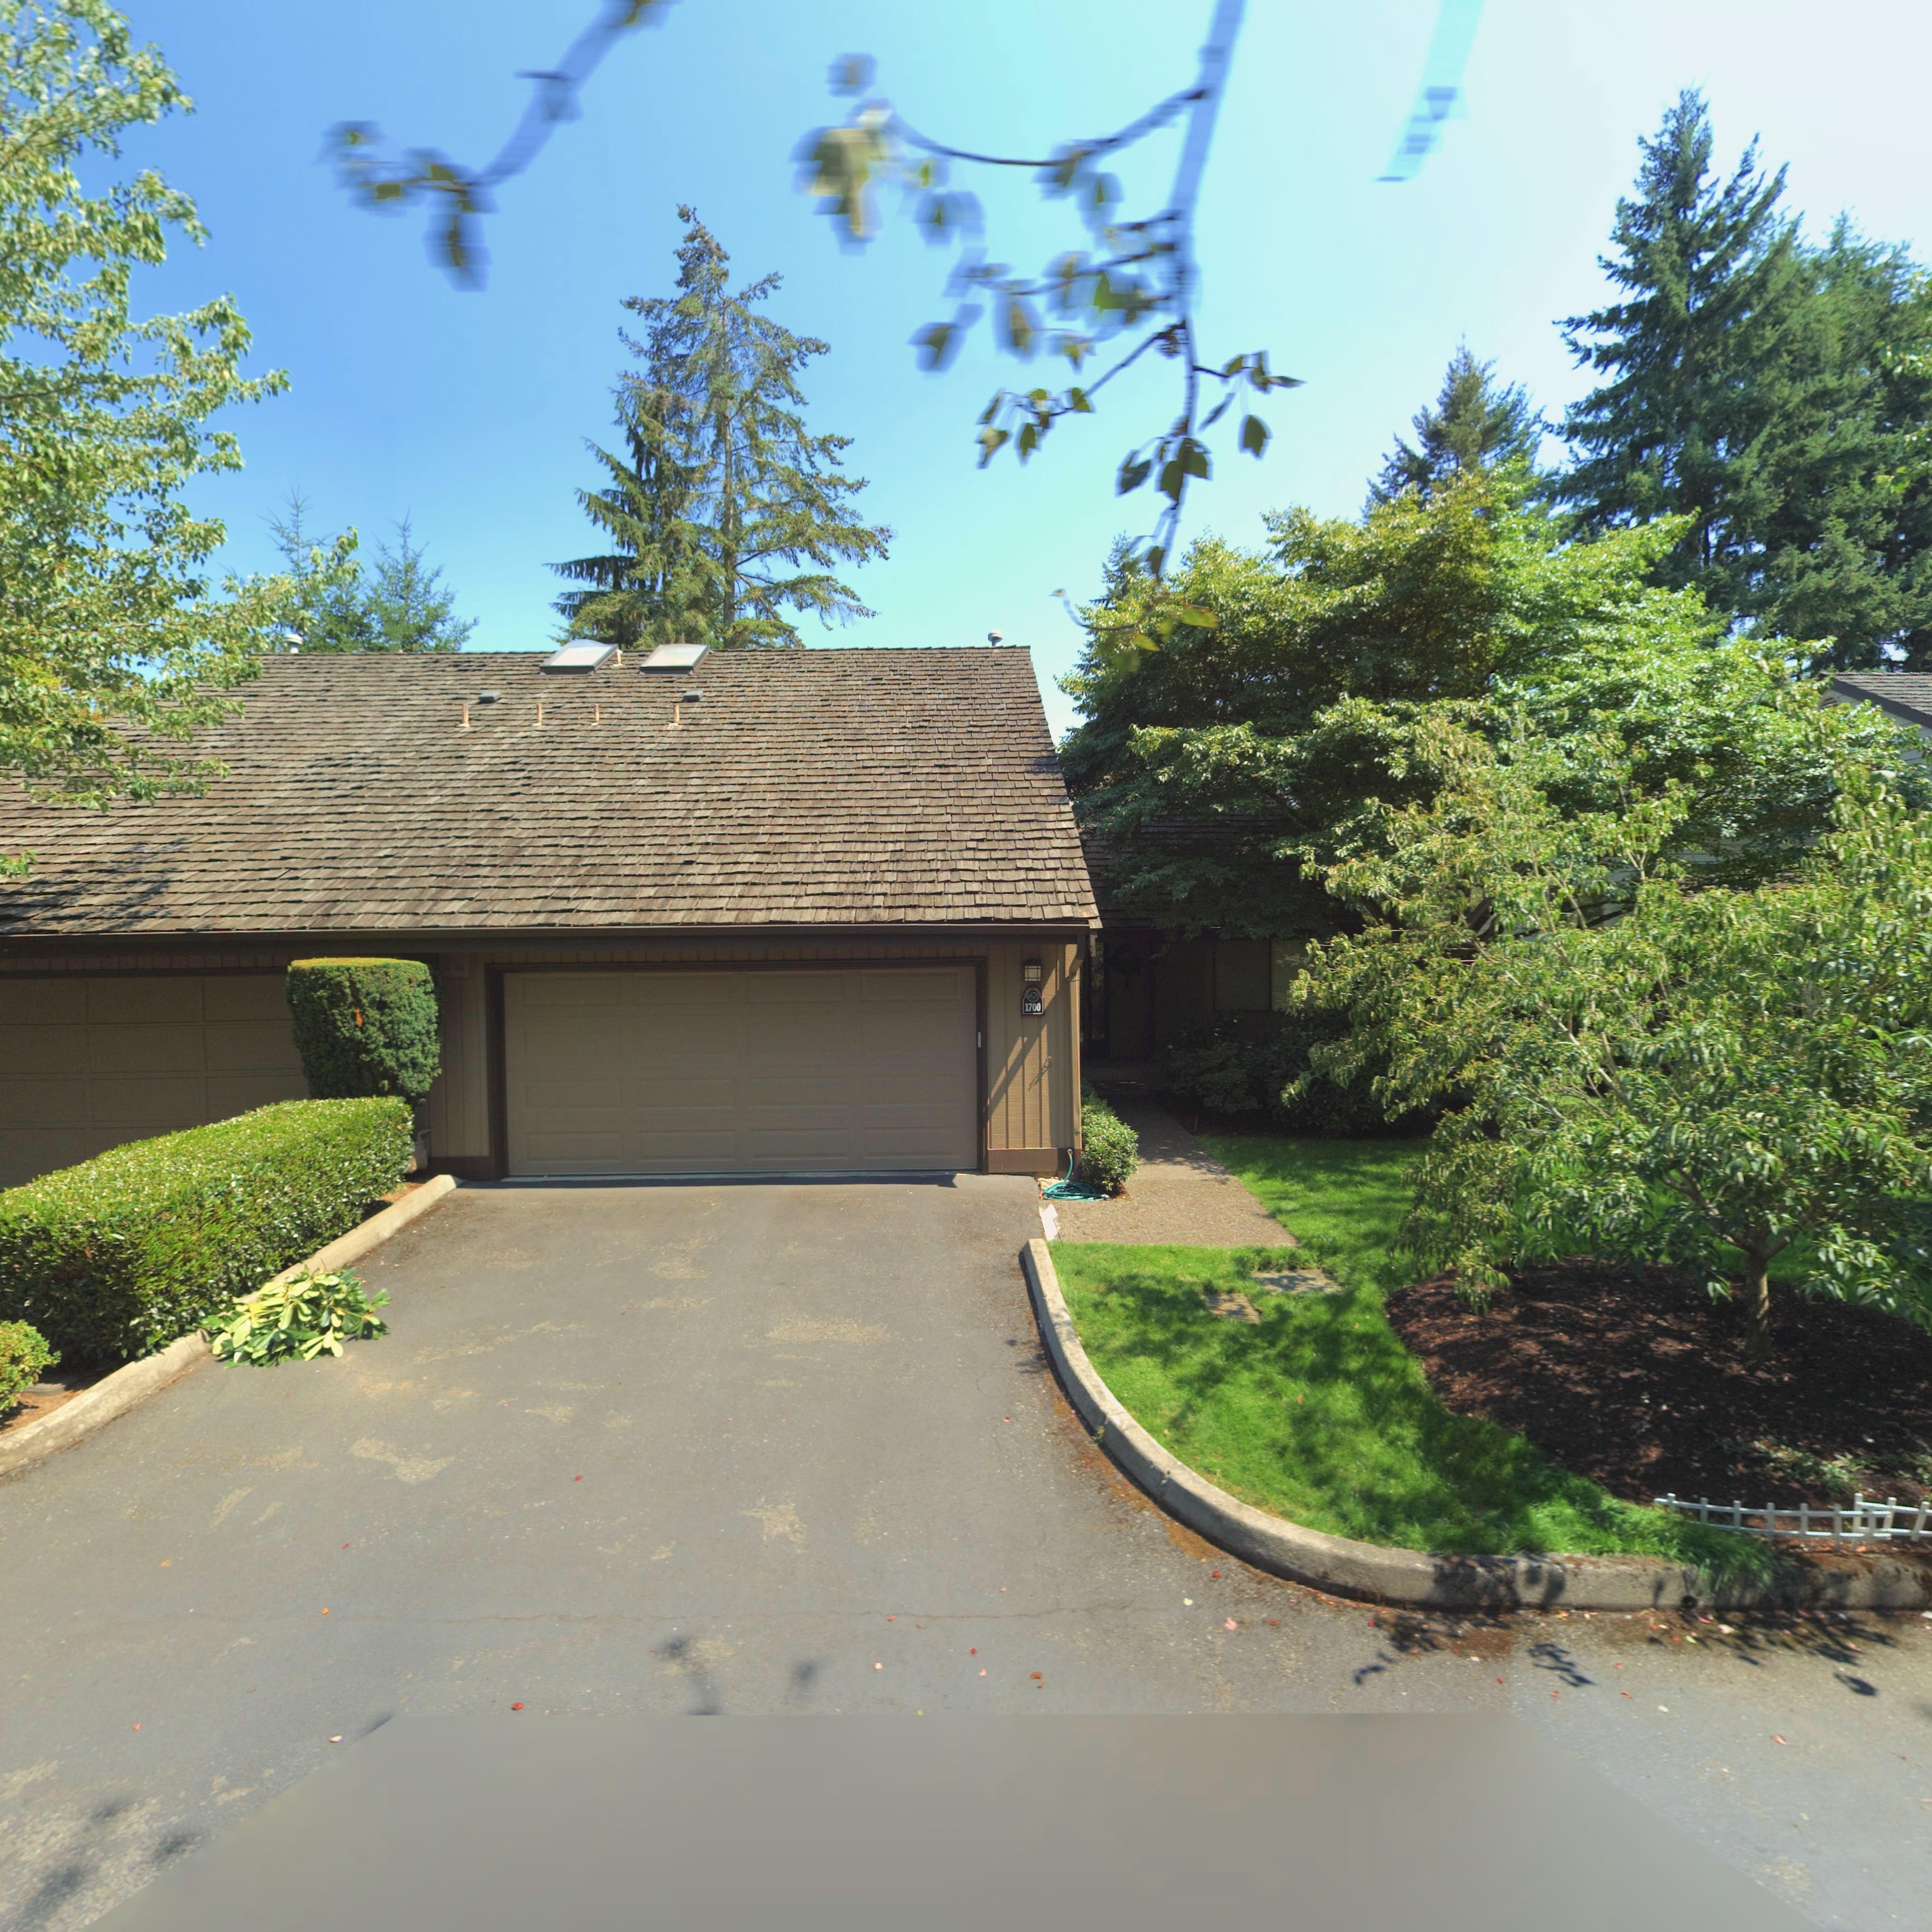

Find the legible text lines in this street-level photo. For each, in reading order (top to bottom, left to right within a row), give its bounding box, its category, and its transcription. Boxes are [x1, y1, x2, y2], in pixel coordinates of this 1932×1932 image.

[1024, 1003, 1041, 1012] StreetNumber: 1700